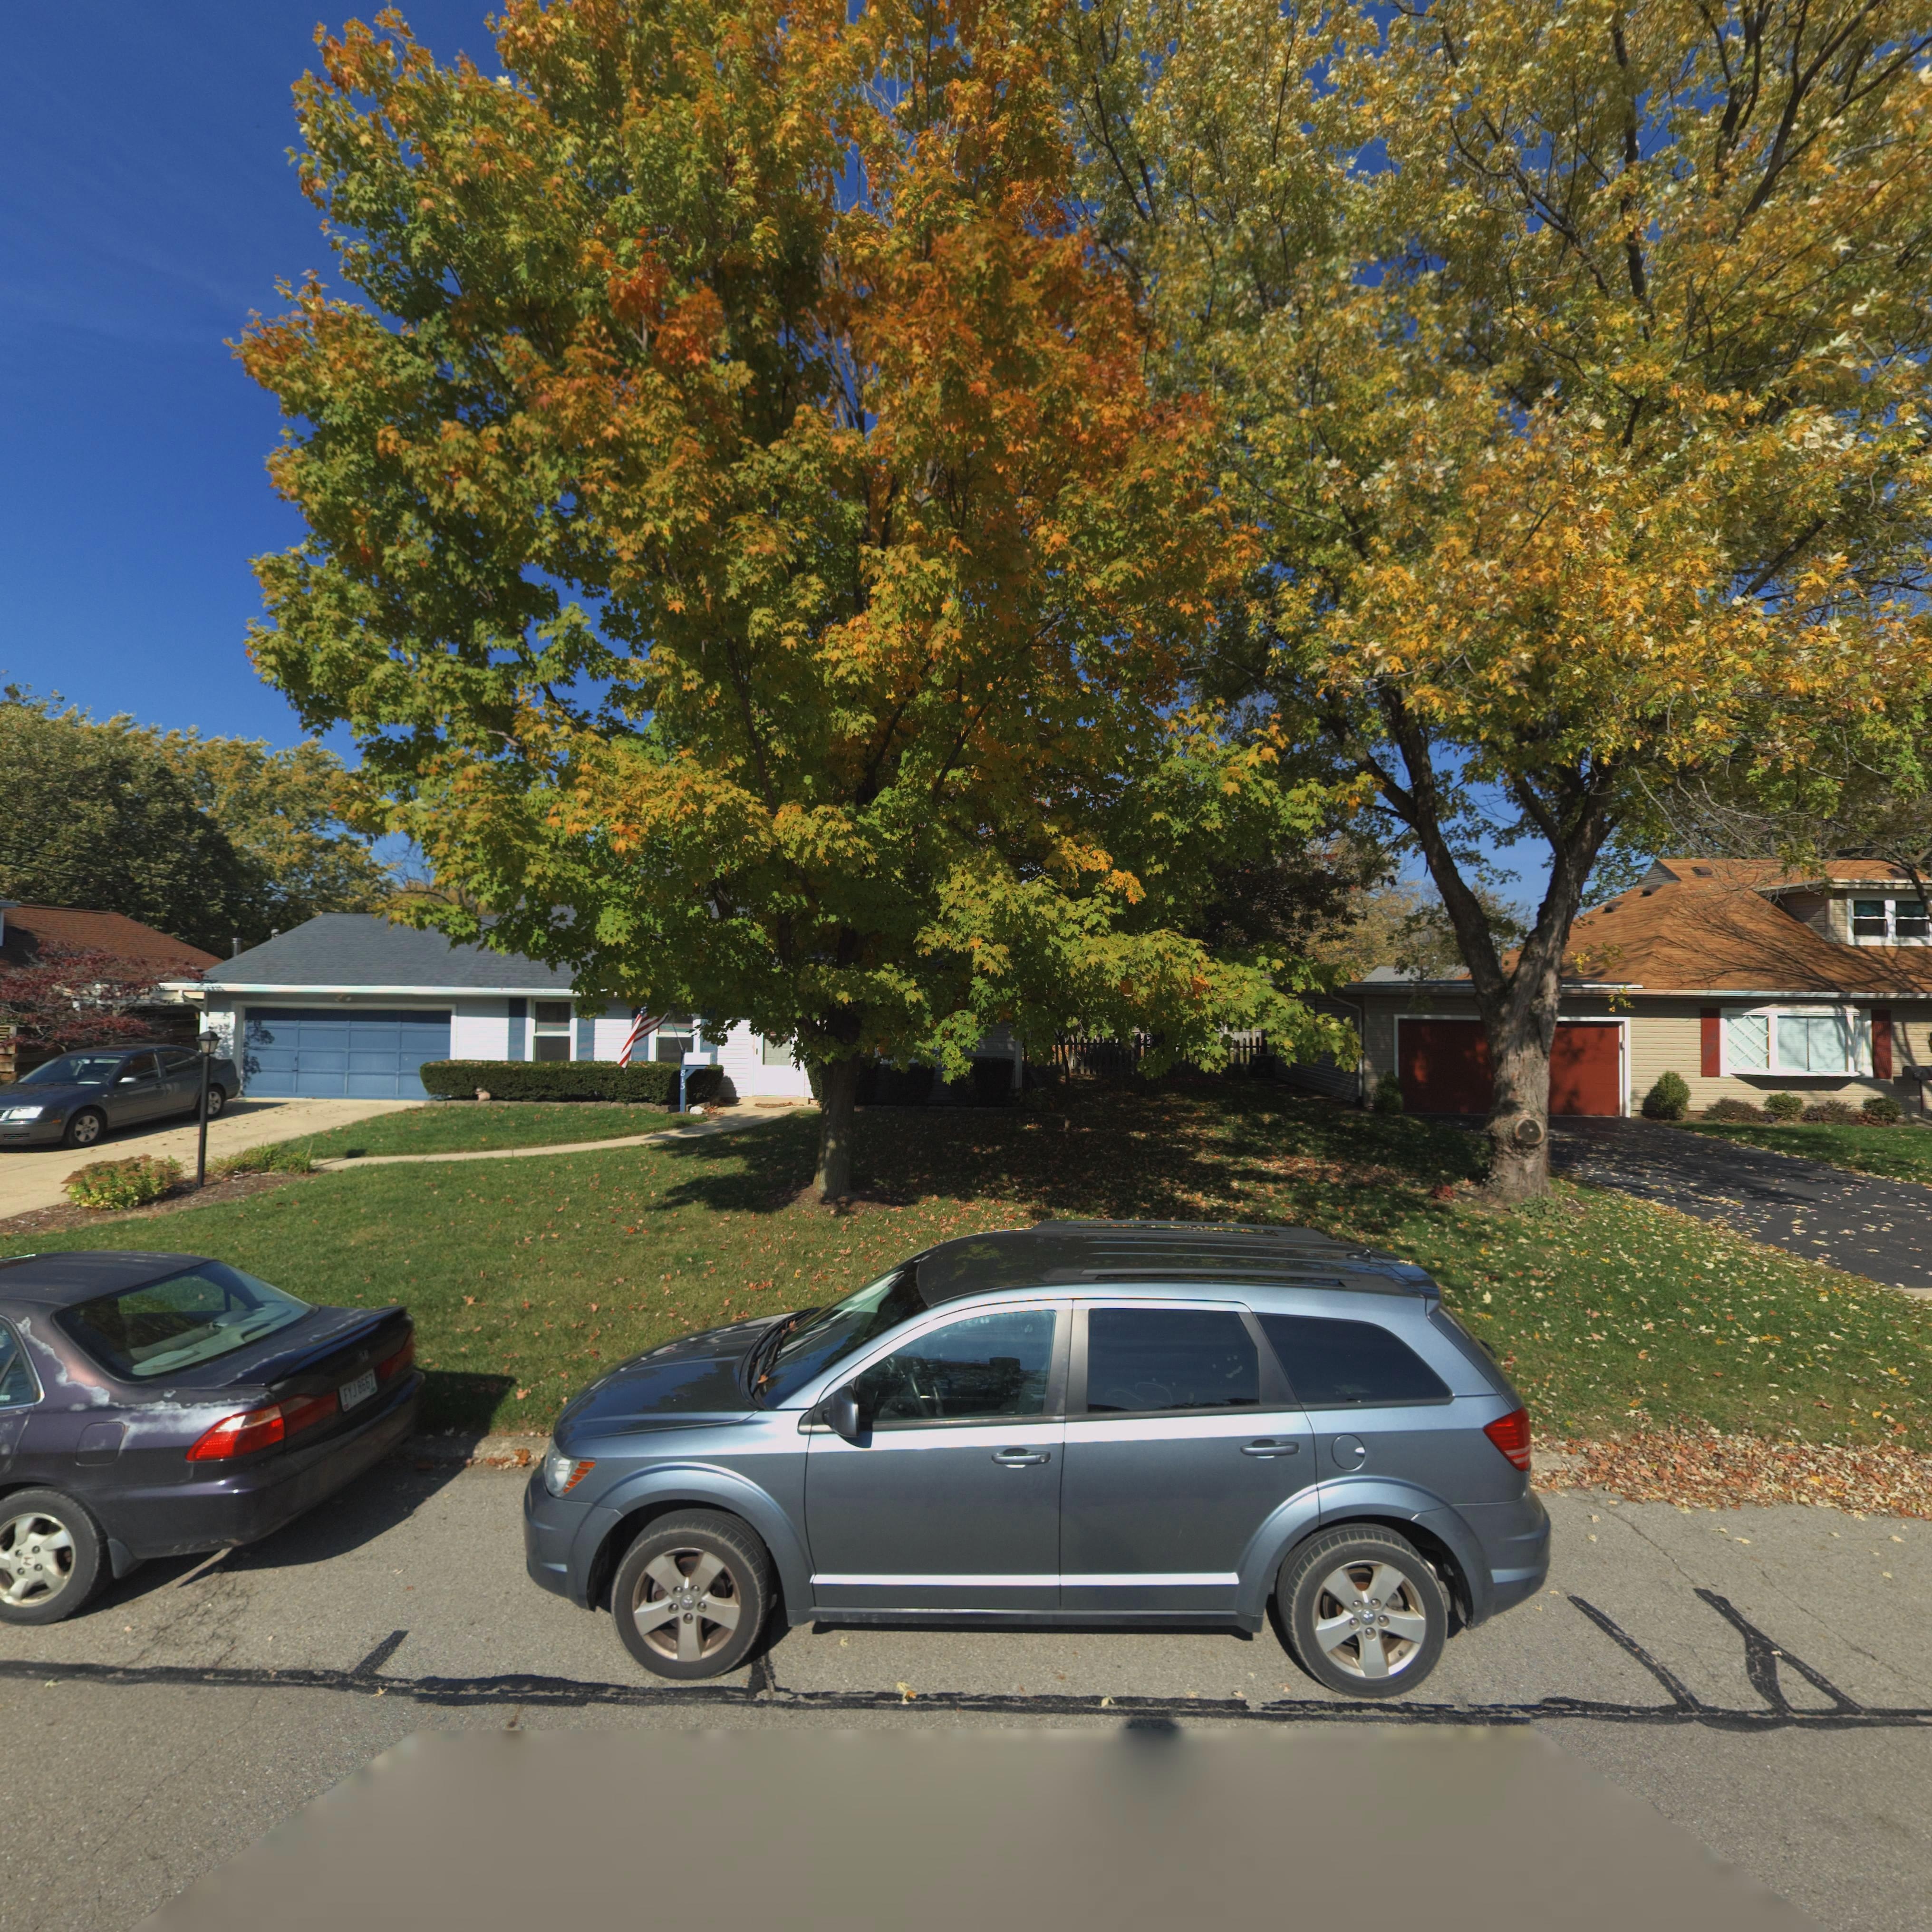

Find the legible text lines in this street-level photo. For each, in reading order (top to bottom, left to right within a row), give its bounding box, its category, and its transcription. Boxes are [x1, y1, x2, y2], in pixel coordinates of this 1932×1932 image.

[679, 1068, 687, 1091] StreetNumber: 81*
[340, 1370, 375, 1406] None: FYJ 8667